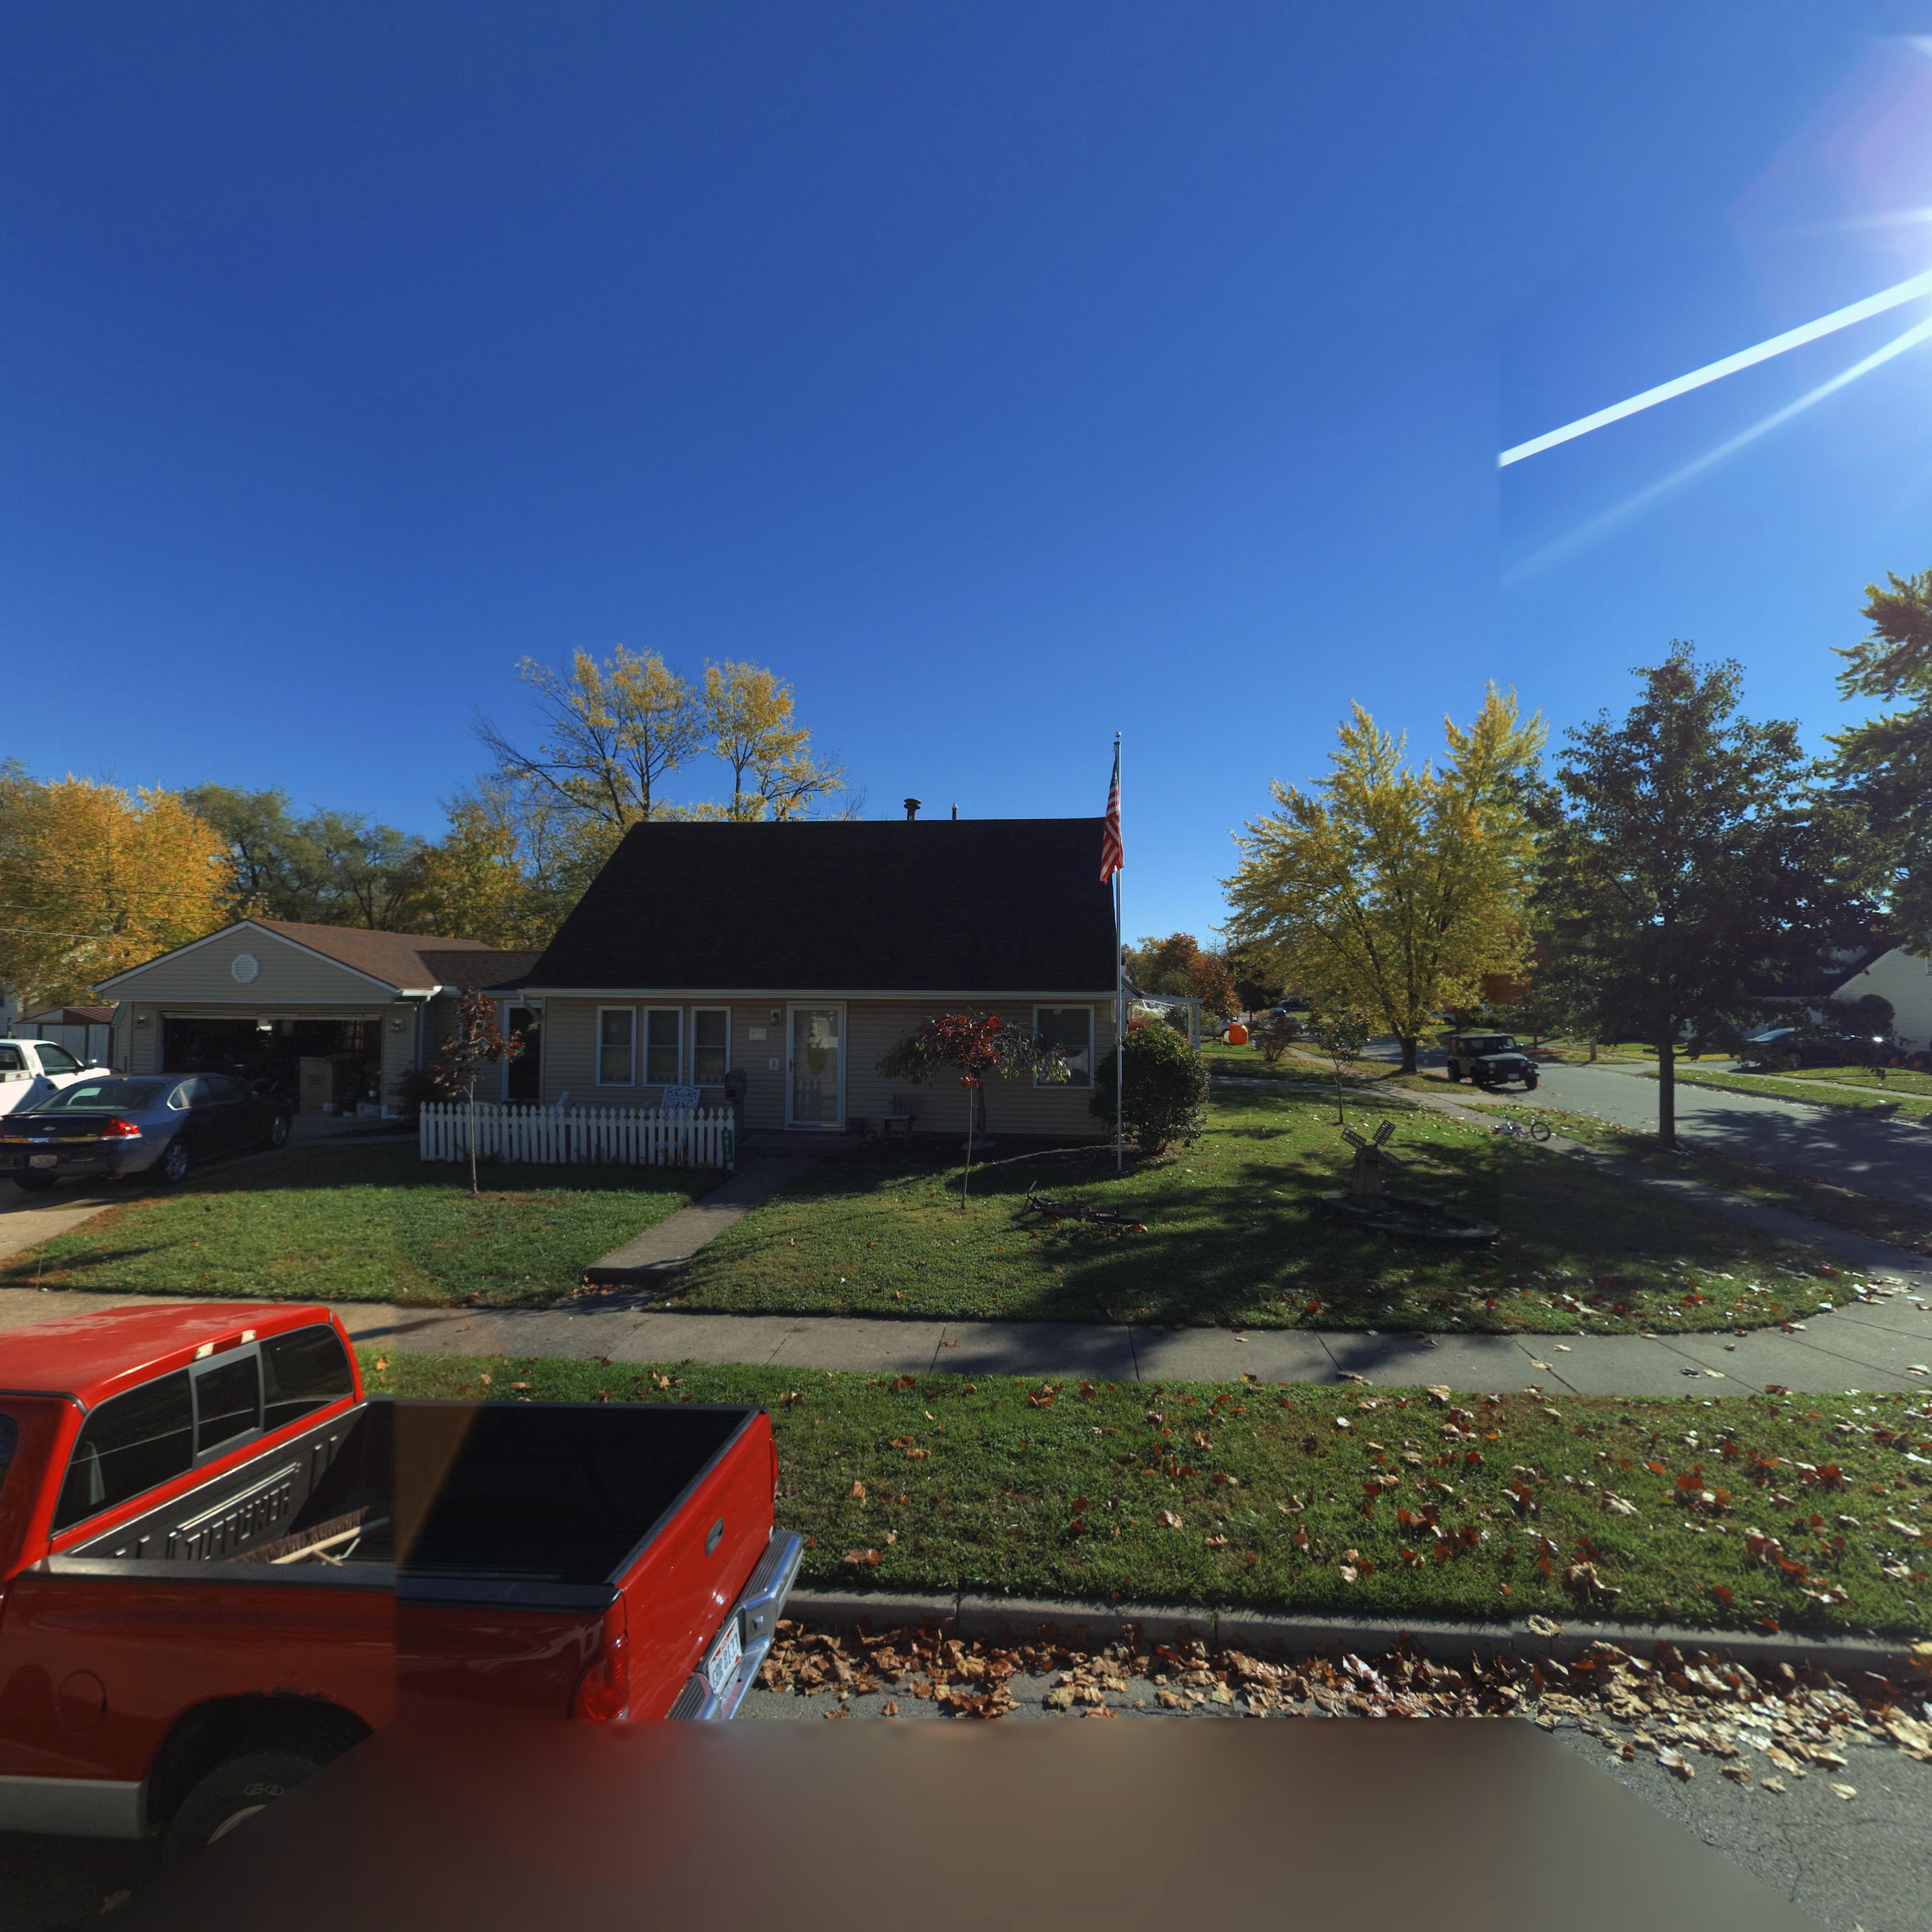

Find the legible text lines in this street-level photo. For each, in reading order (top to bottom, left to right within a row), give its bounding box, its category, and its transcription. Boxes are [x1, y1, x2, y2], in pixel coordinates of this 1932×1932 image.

[751, 1030, 765, 1038] StreetNumber: 4810
[724, 1131, 731, 1161] StreetNumber: 4810